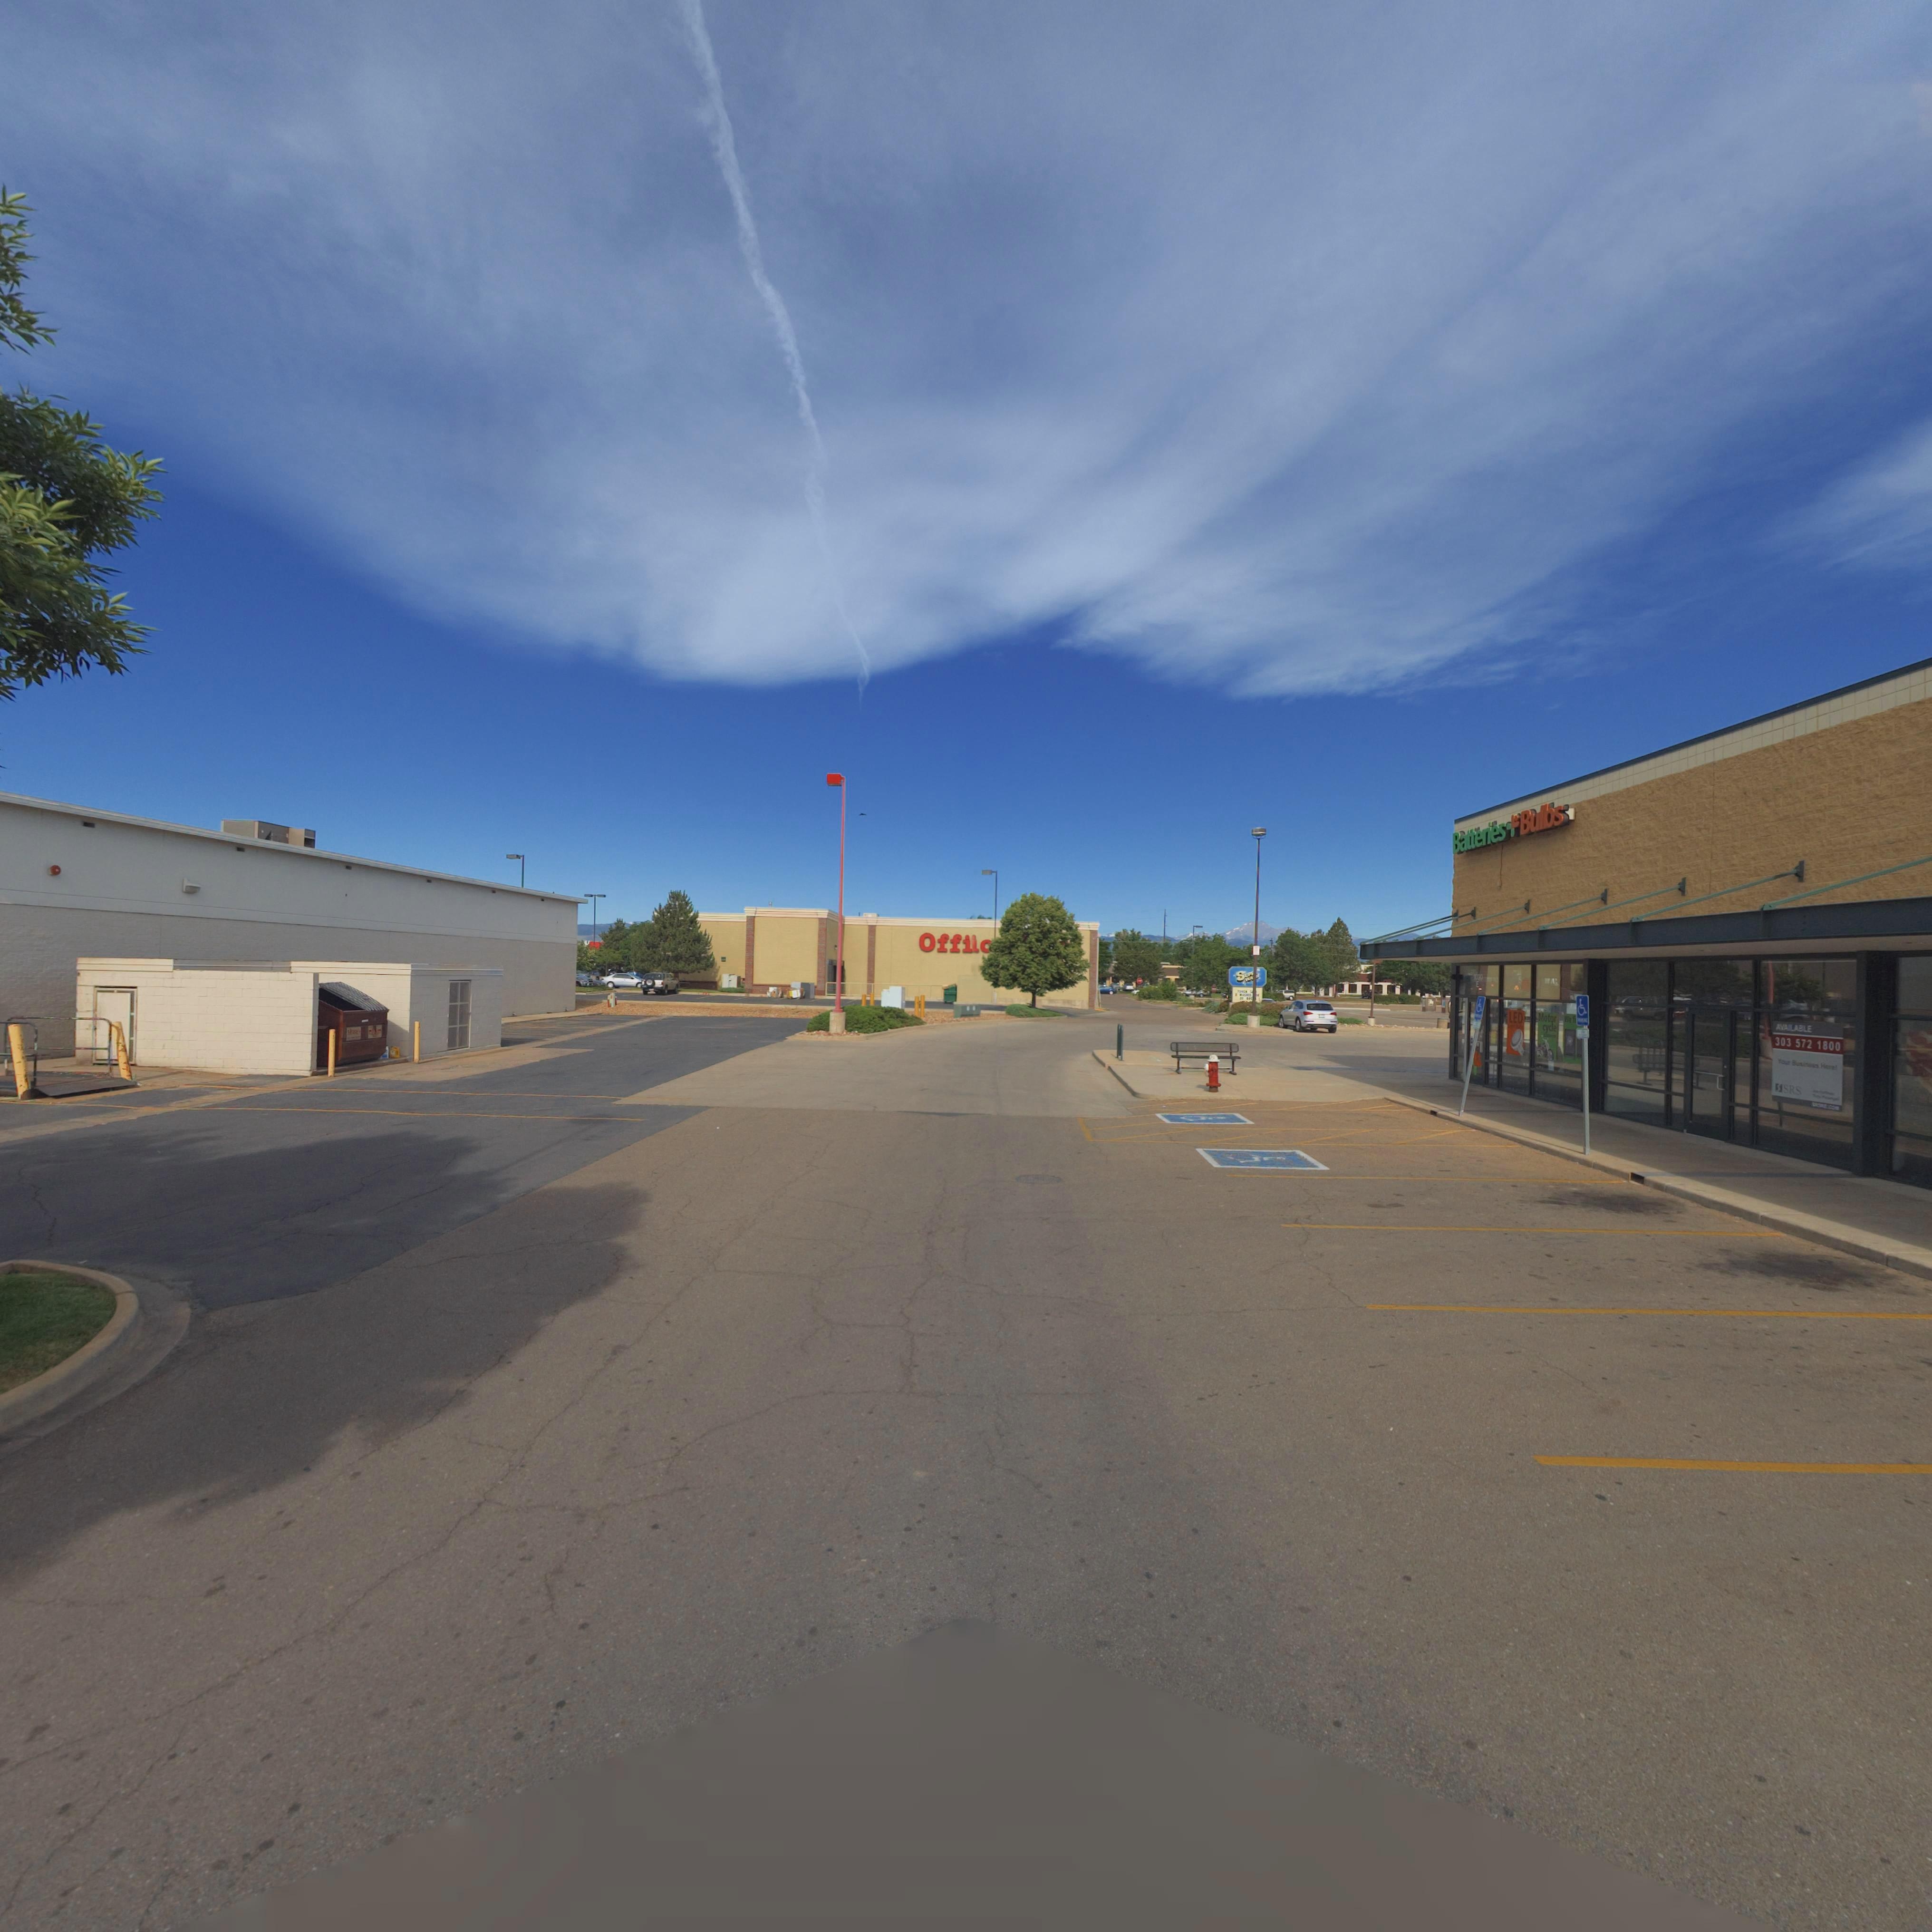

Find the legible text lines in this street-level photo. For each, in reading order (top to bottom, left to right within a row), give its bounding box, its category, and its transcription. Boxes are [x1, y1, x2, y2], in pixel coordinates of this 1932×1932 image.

[1452, 803, 1564, 854] BusinessName: Batteries * Bulbs
[918, 932, 991, 953] BusinessName: Offi*
[1236, 970, 1254, 982] BusinessName: SUP*
[1245, 973, 1259, 982] BusinessName: WA**
[1473, 974, 1483, 980] StreetNumber: 1020